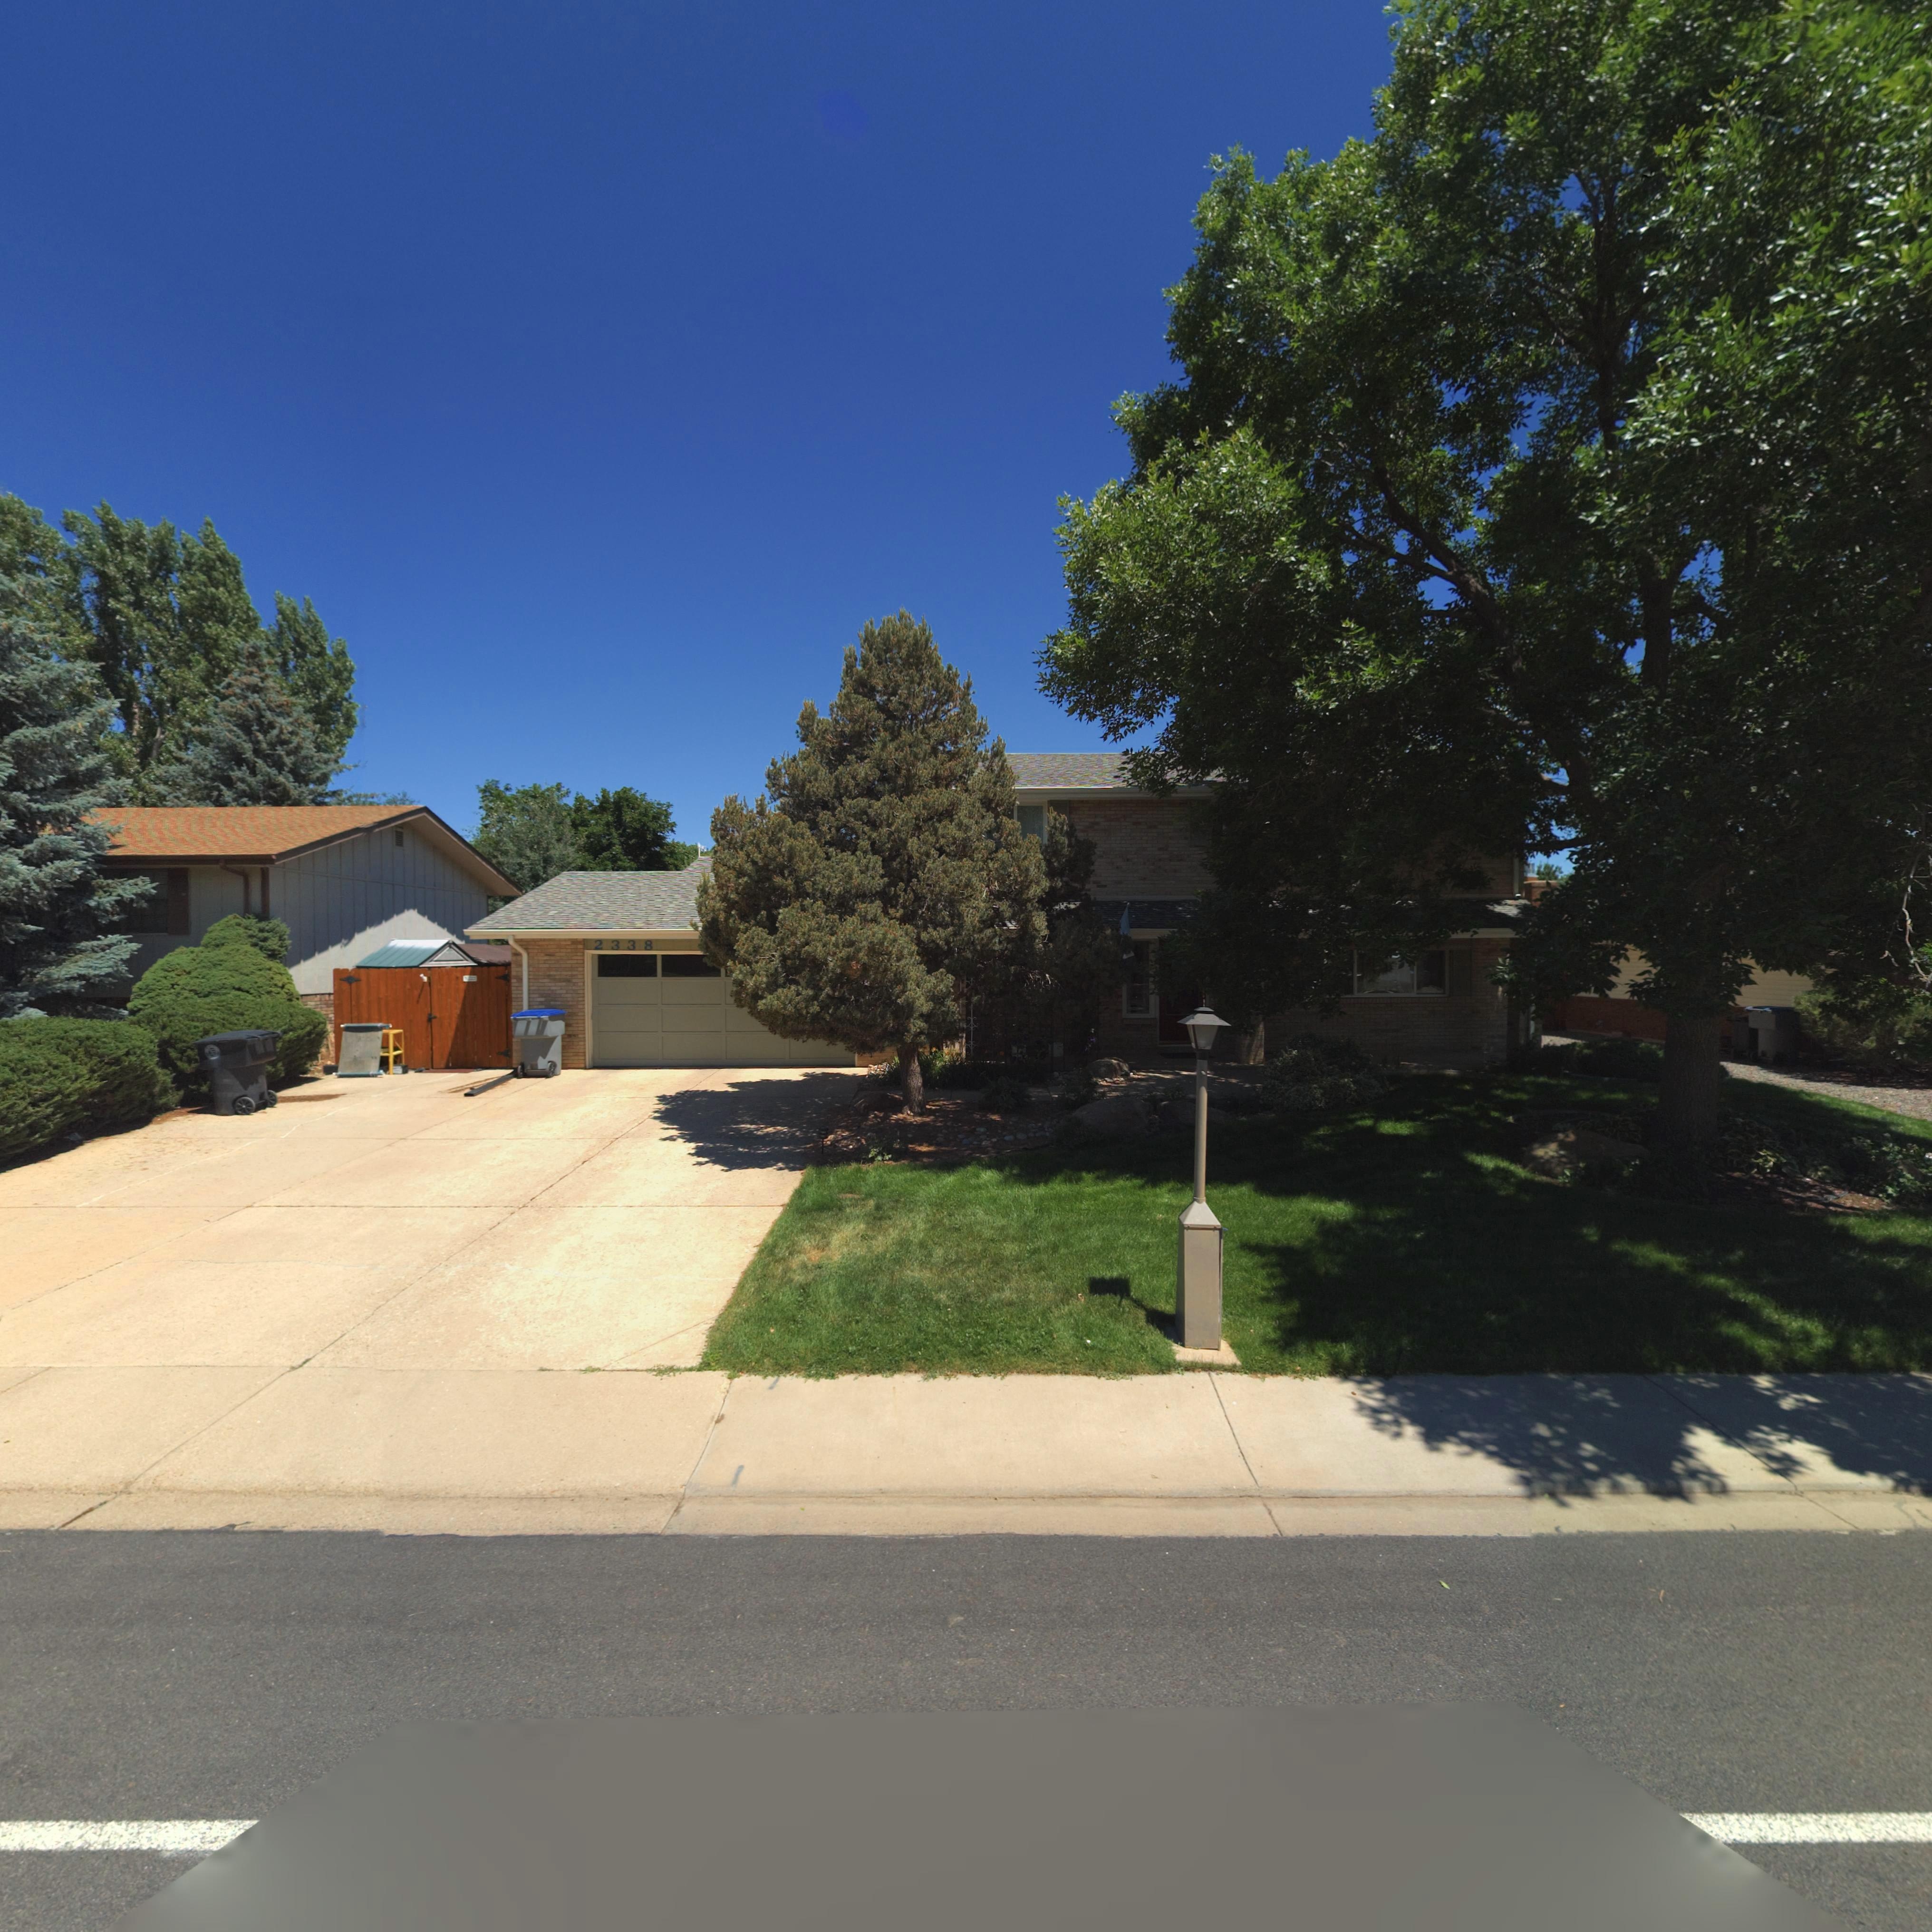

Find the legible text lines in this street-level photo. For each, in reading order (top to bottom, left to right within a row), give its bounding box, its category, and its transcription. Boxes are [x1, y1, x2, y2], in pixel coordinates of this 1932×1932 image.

[594, 939, 653, 950] StreetNumber: 2338